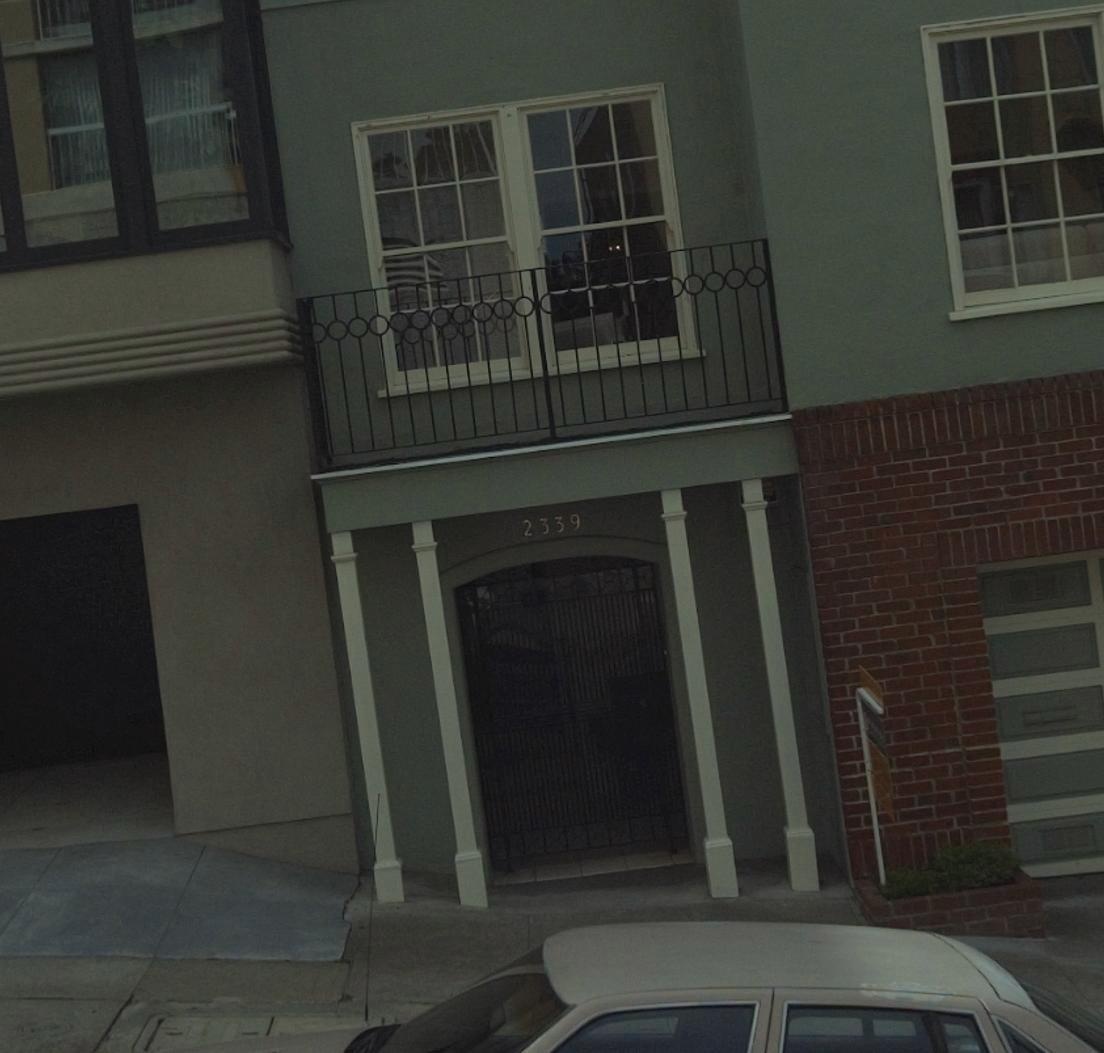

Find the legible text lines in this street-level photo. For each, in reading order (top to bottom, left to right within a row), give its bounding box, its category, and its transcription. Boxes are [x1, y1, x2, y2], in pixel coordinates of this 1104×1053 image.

[520, 511, 583, 539] StreetNumber: 2339